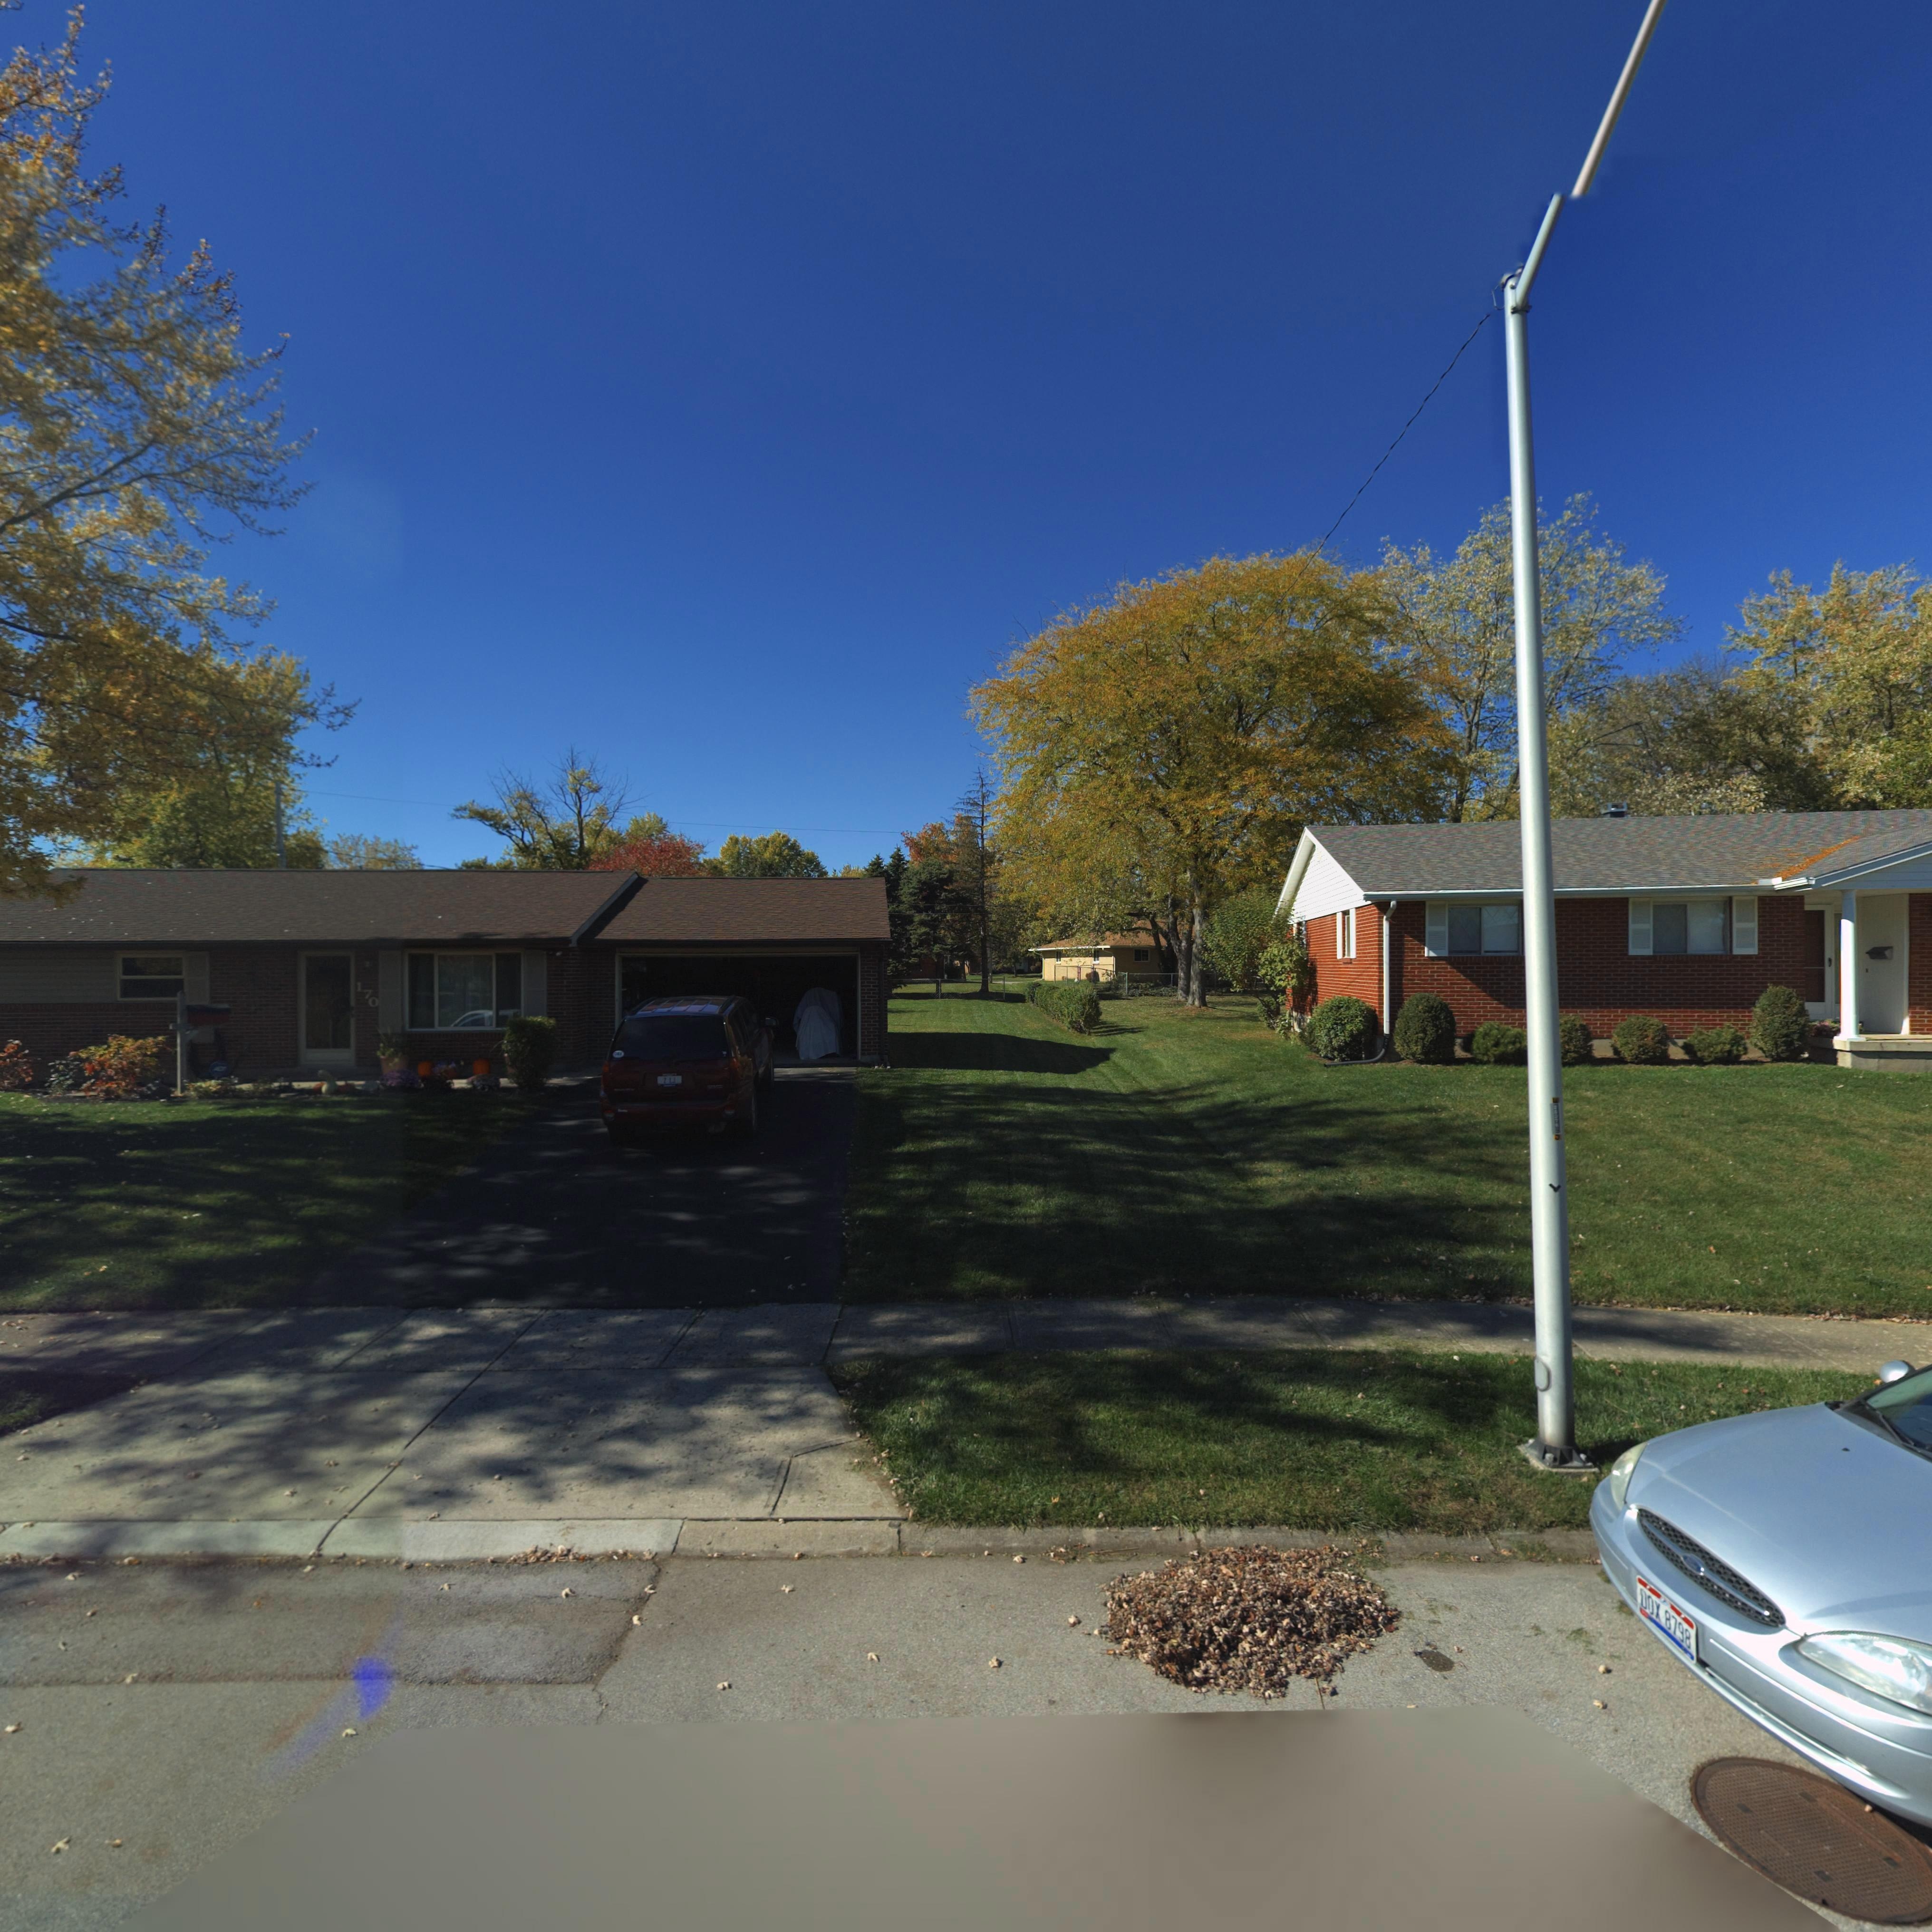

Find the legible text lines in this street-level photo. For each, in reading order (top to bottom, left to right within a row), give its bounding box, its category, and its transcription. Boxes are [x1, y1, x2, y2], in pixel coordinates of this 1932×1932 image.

[356, 981, 380, 1009] StreetNumber: 170